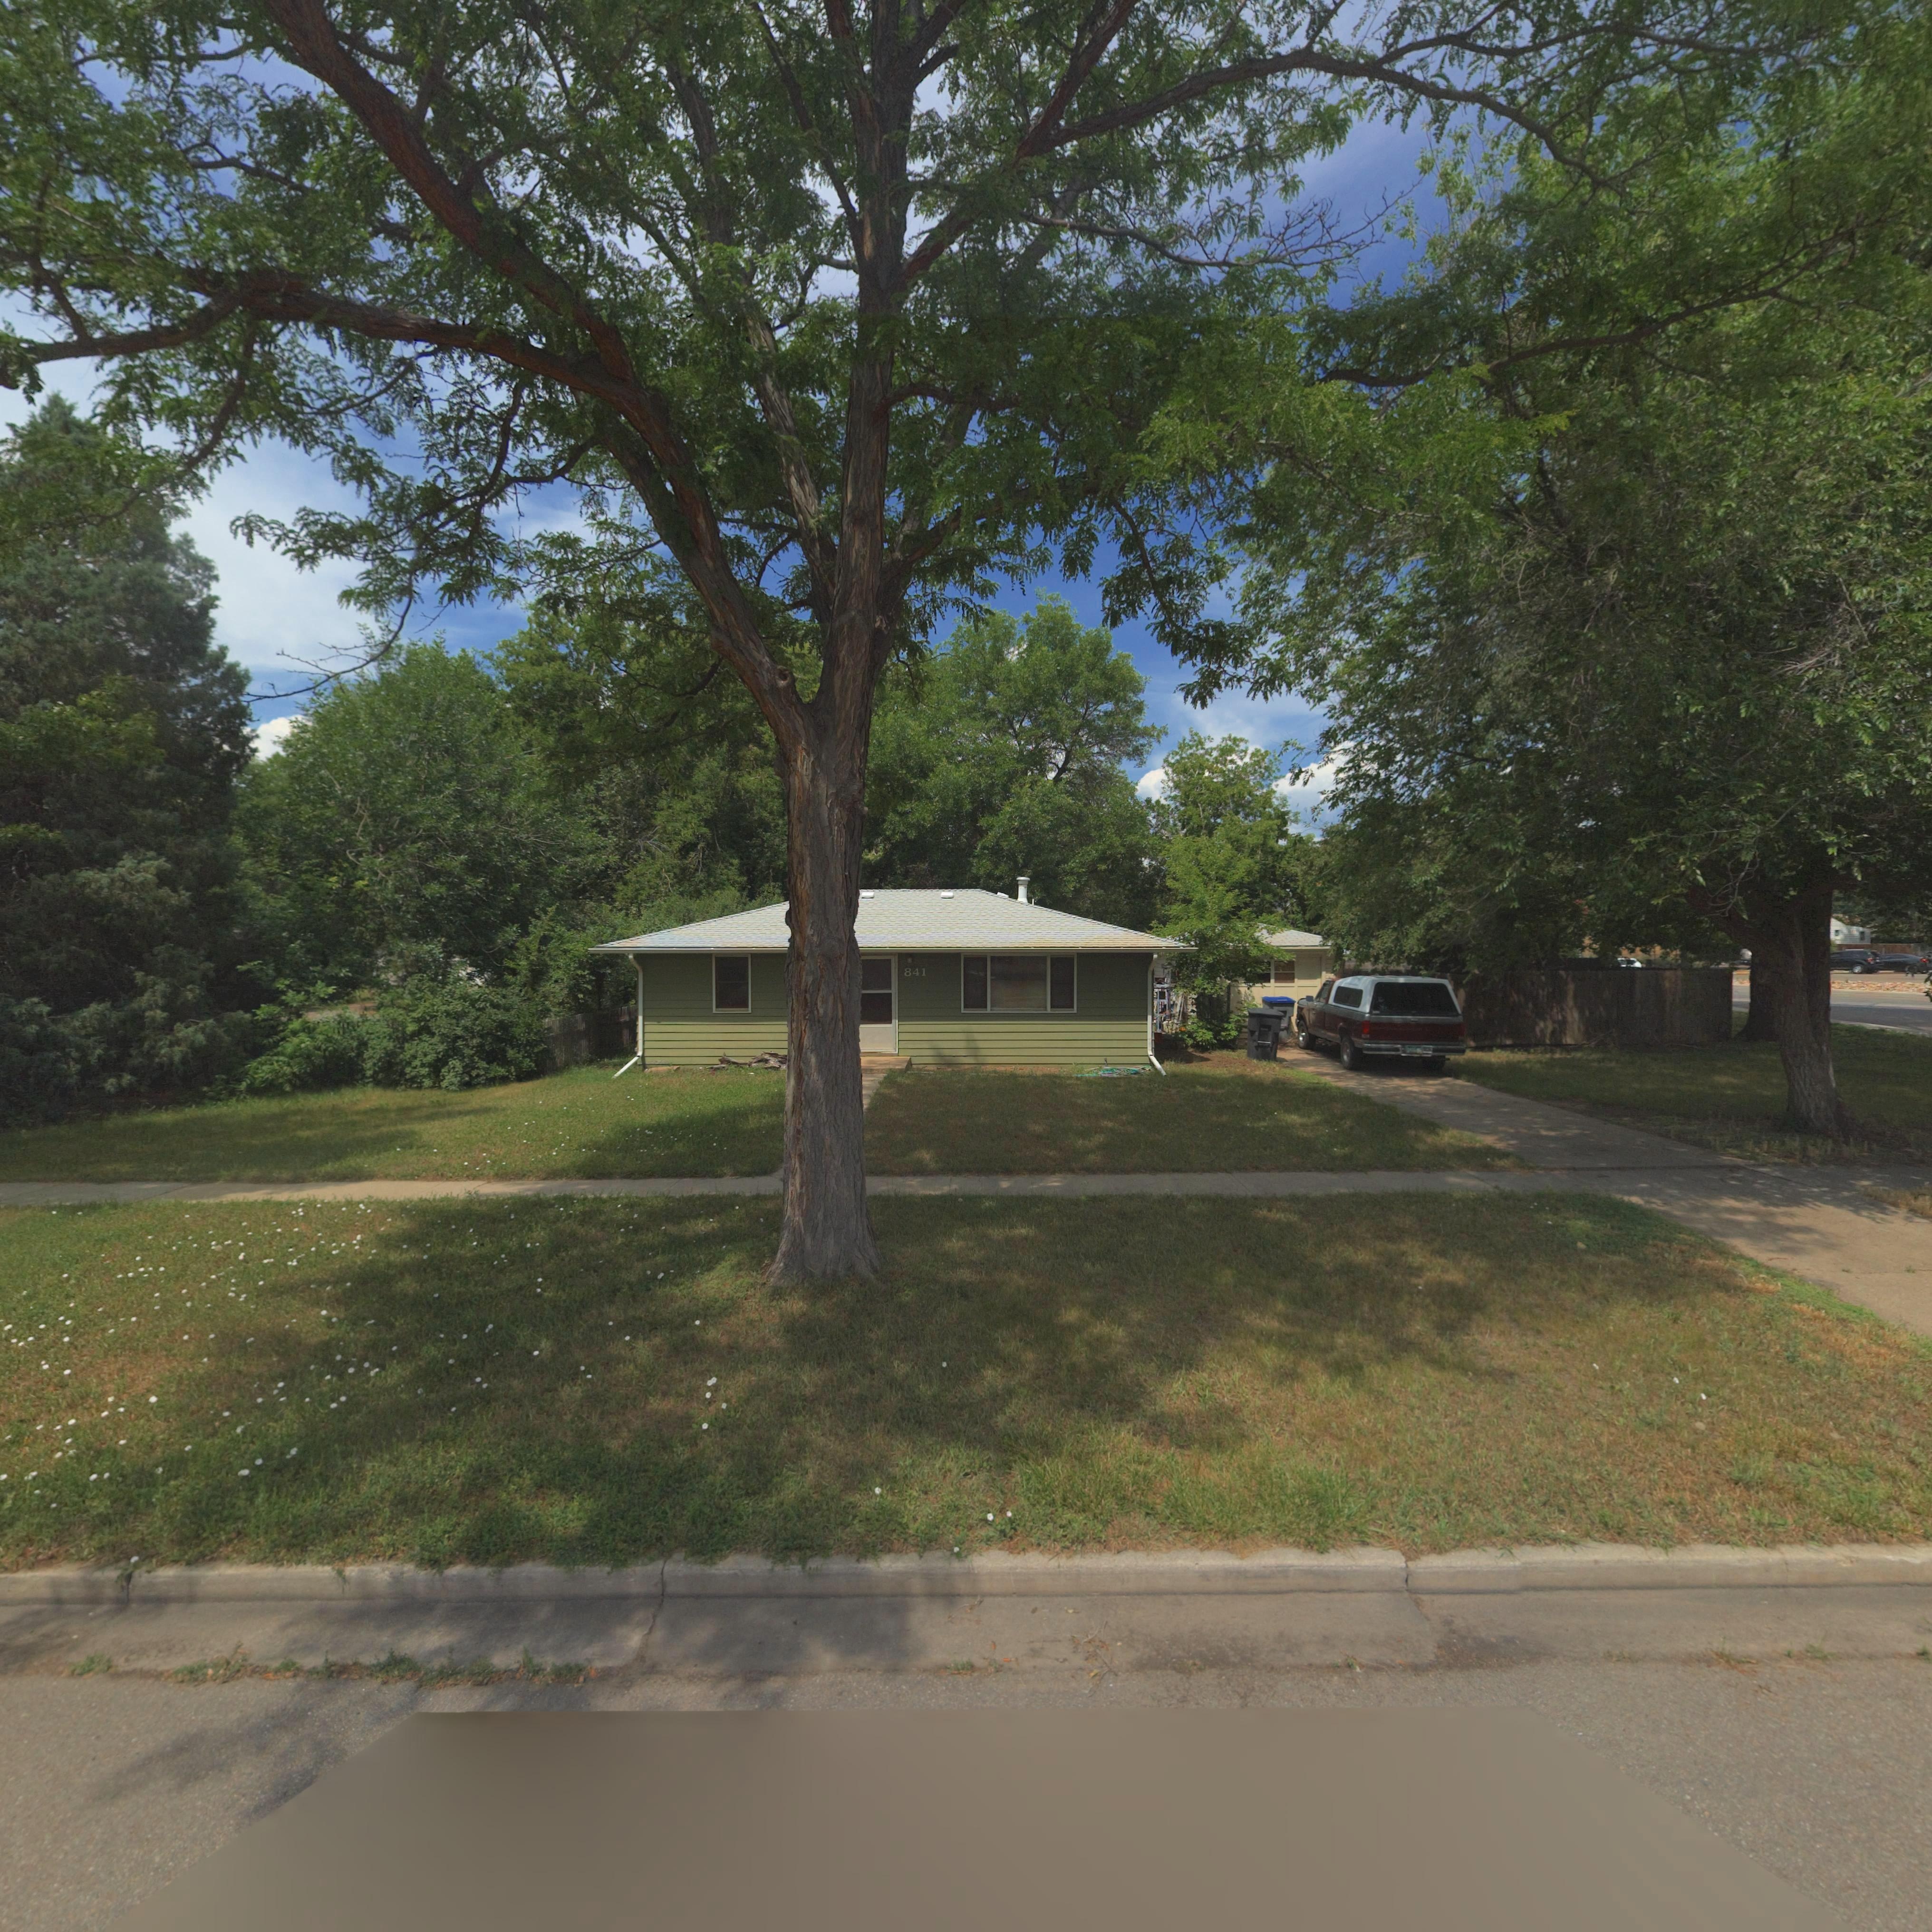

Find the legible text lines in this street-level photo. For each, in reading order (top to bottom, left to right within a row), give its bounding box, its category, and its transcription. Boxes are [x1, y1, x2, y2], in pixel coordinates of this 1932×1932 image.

[903, 967, 927, 977] StreetNumber: 841